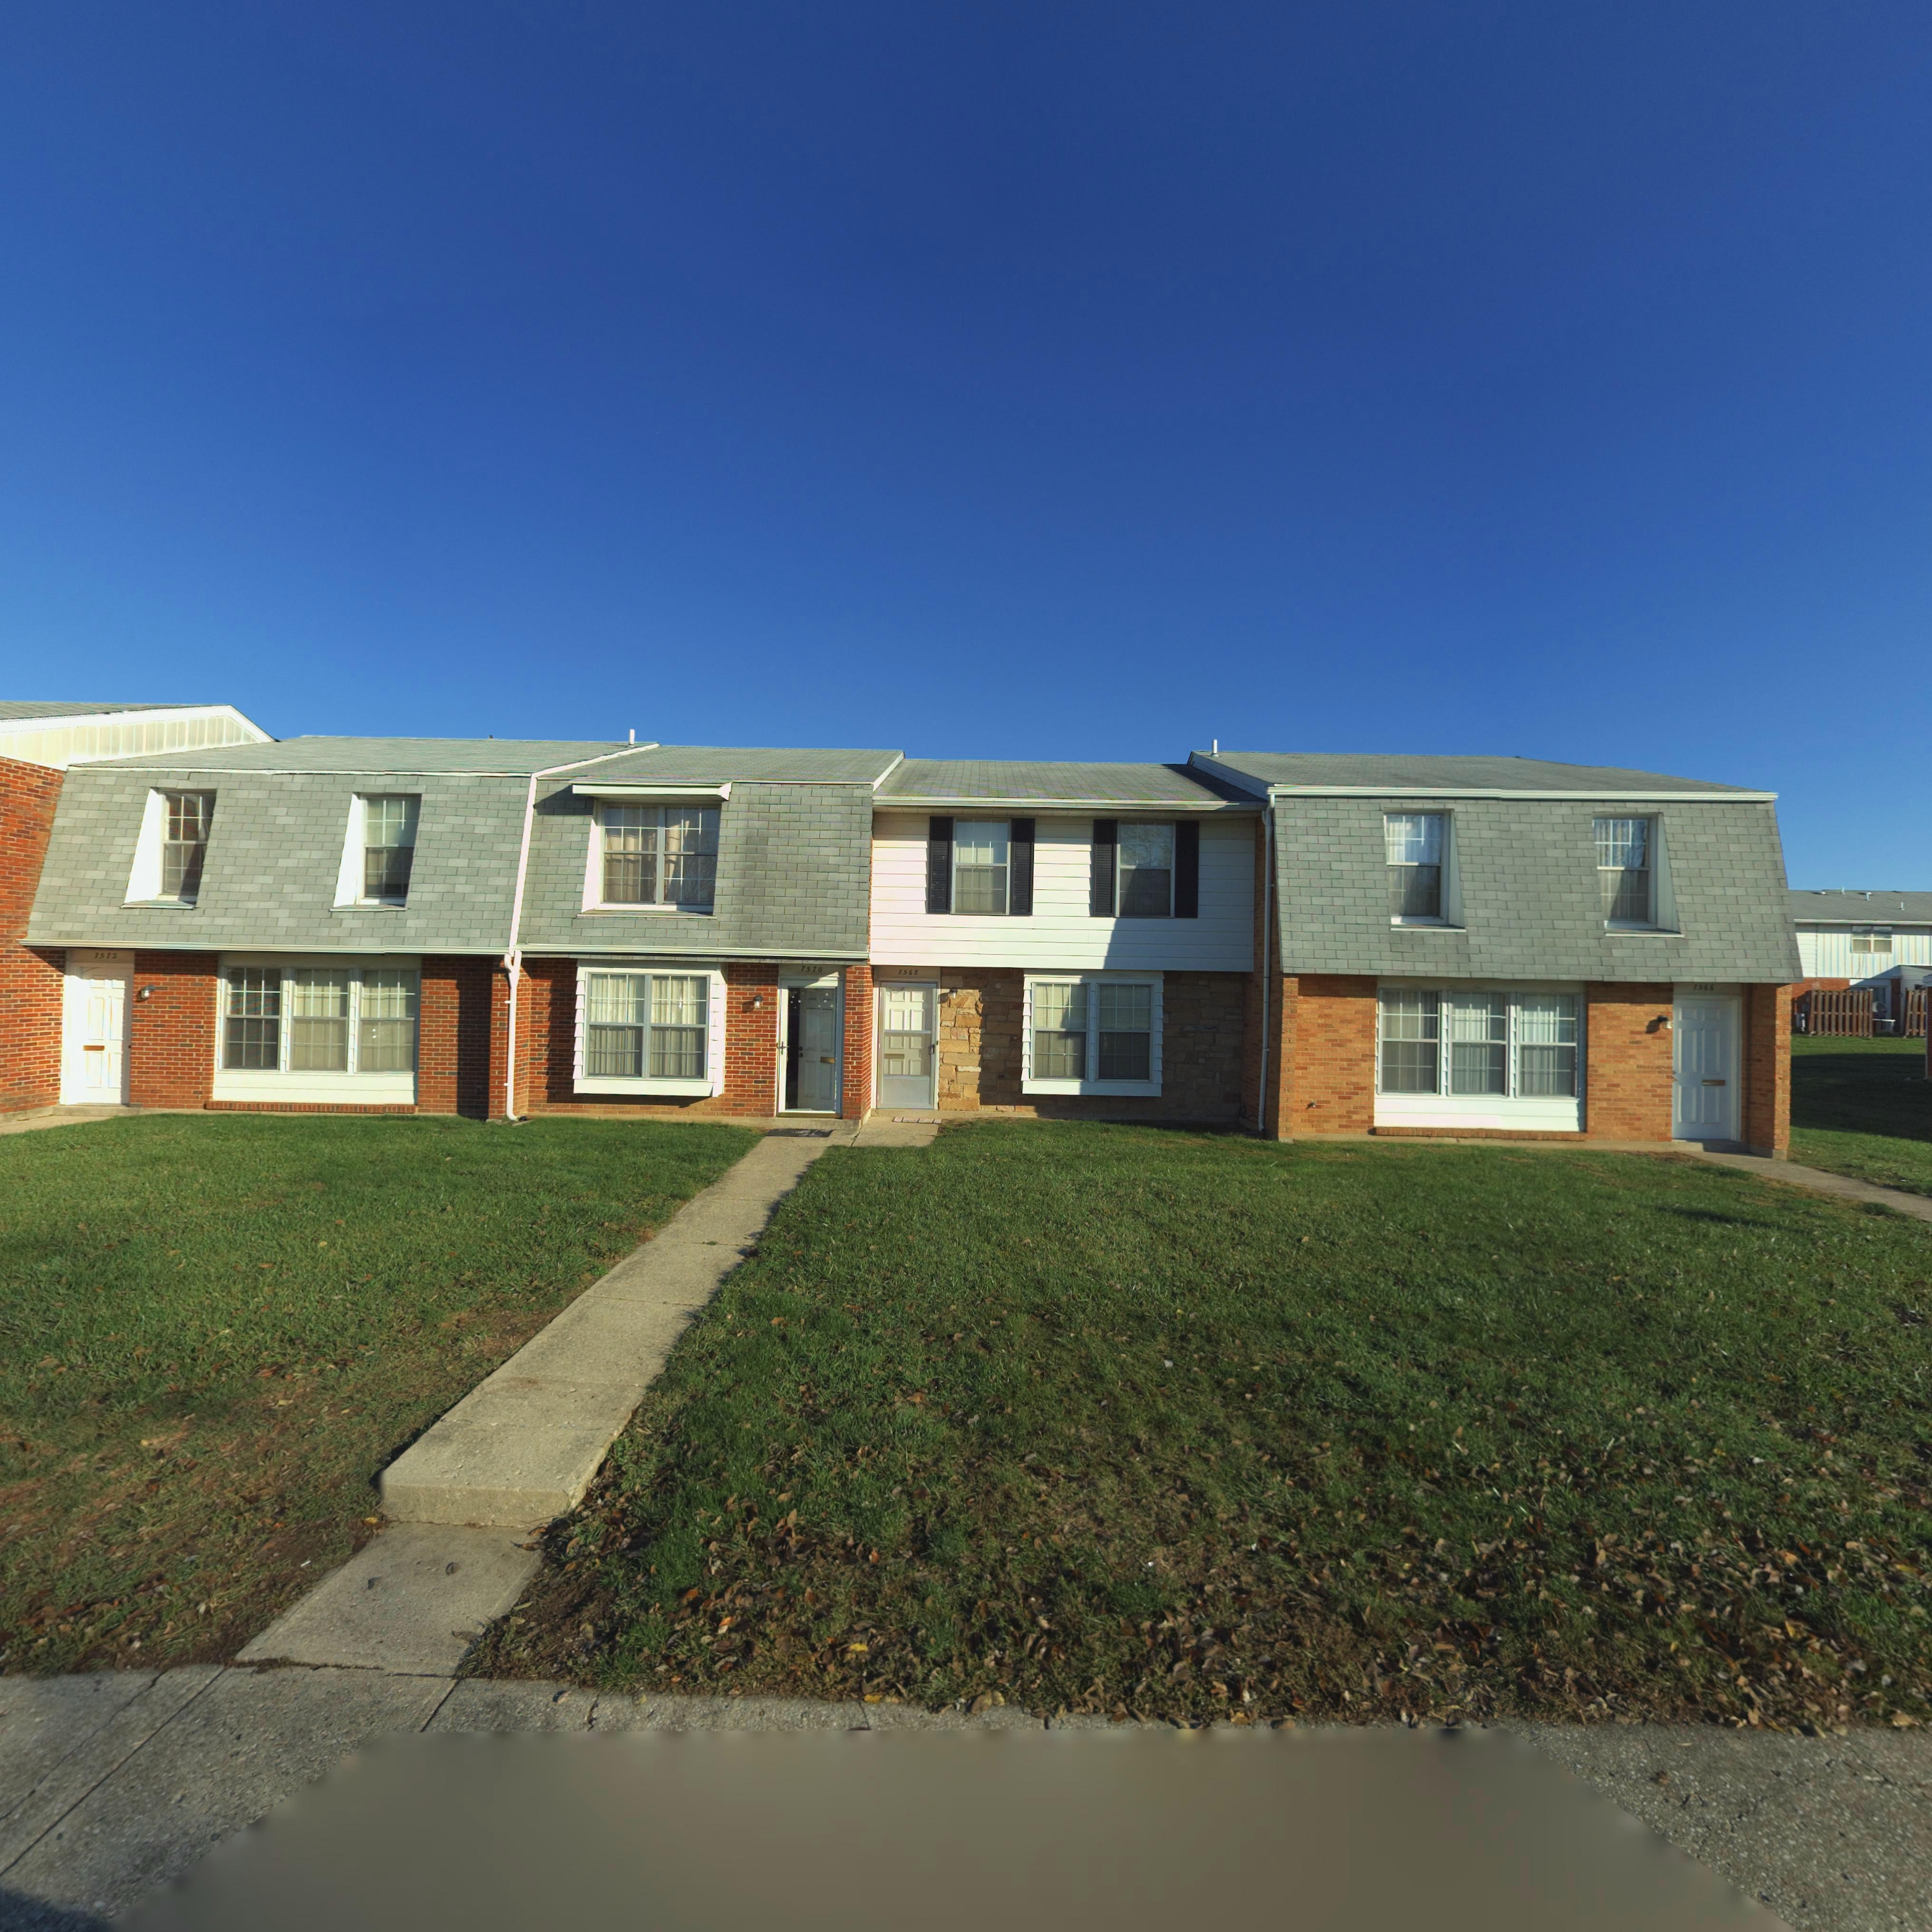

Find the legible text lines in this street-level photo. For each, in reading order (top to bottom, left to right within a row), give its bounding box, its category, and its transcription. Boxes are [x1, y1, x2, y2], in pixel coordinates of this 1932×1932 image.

[92, 952, 118, 961] StreetNumber: 7572
[800, 965, 823, 974] StreetNumber: 7570
[898, 968, 919, 976] StreetNumber: 7568
[1692, 983, 1716, 992] StreetNumber: 7566